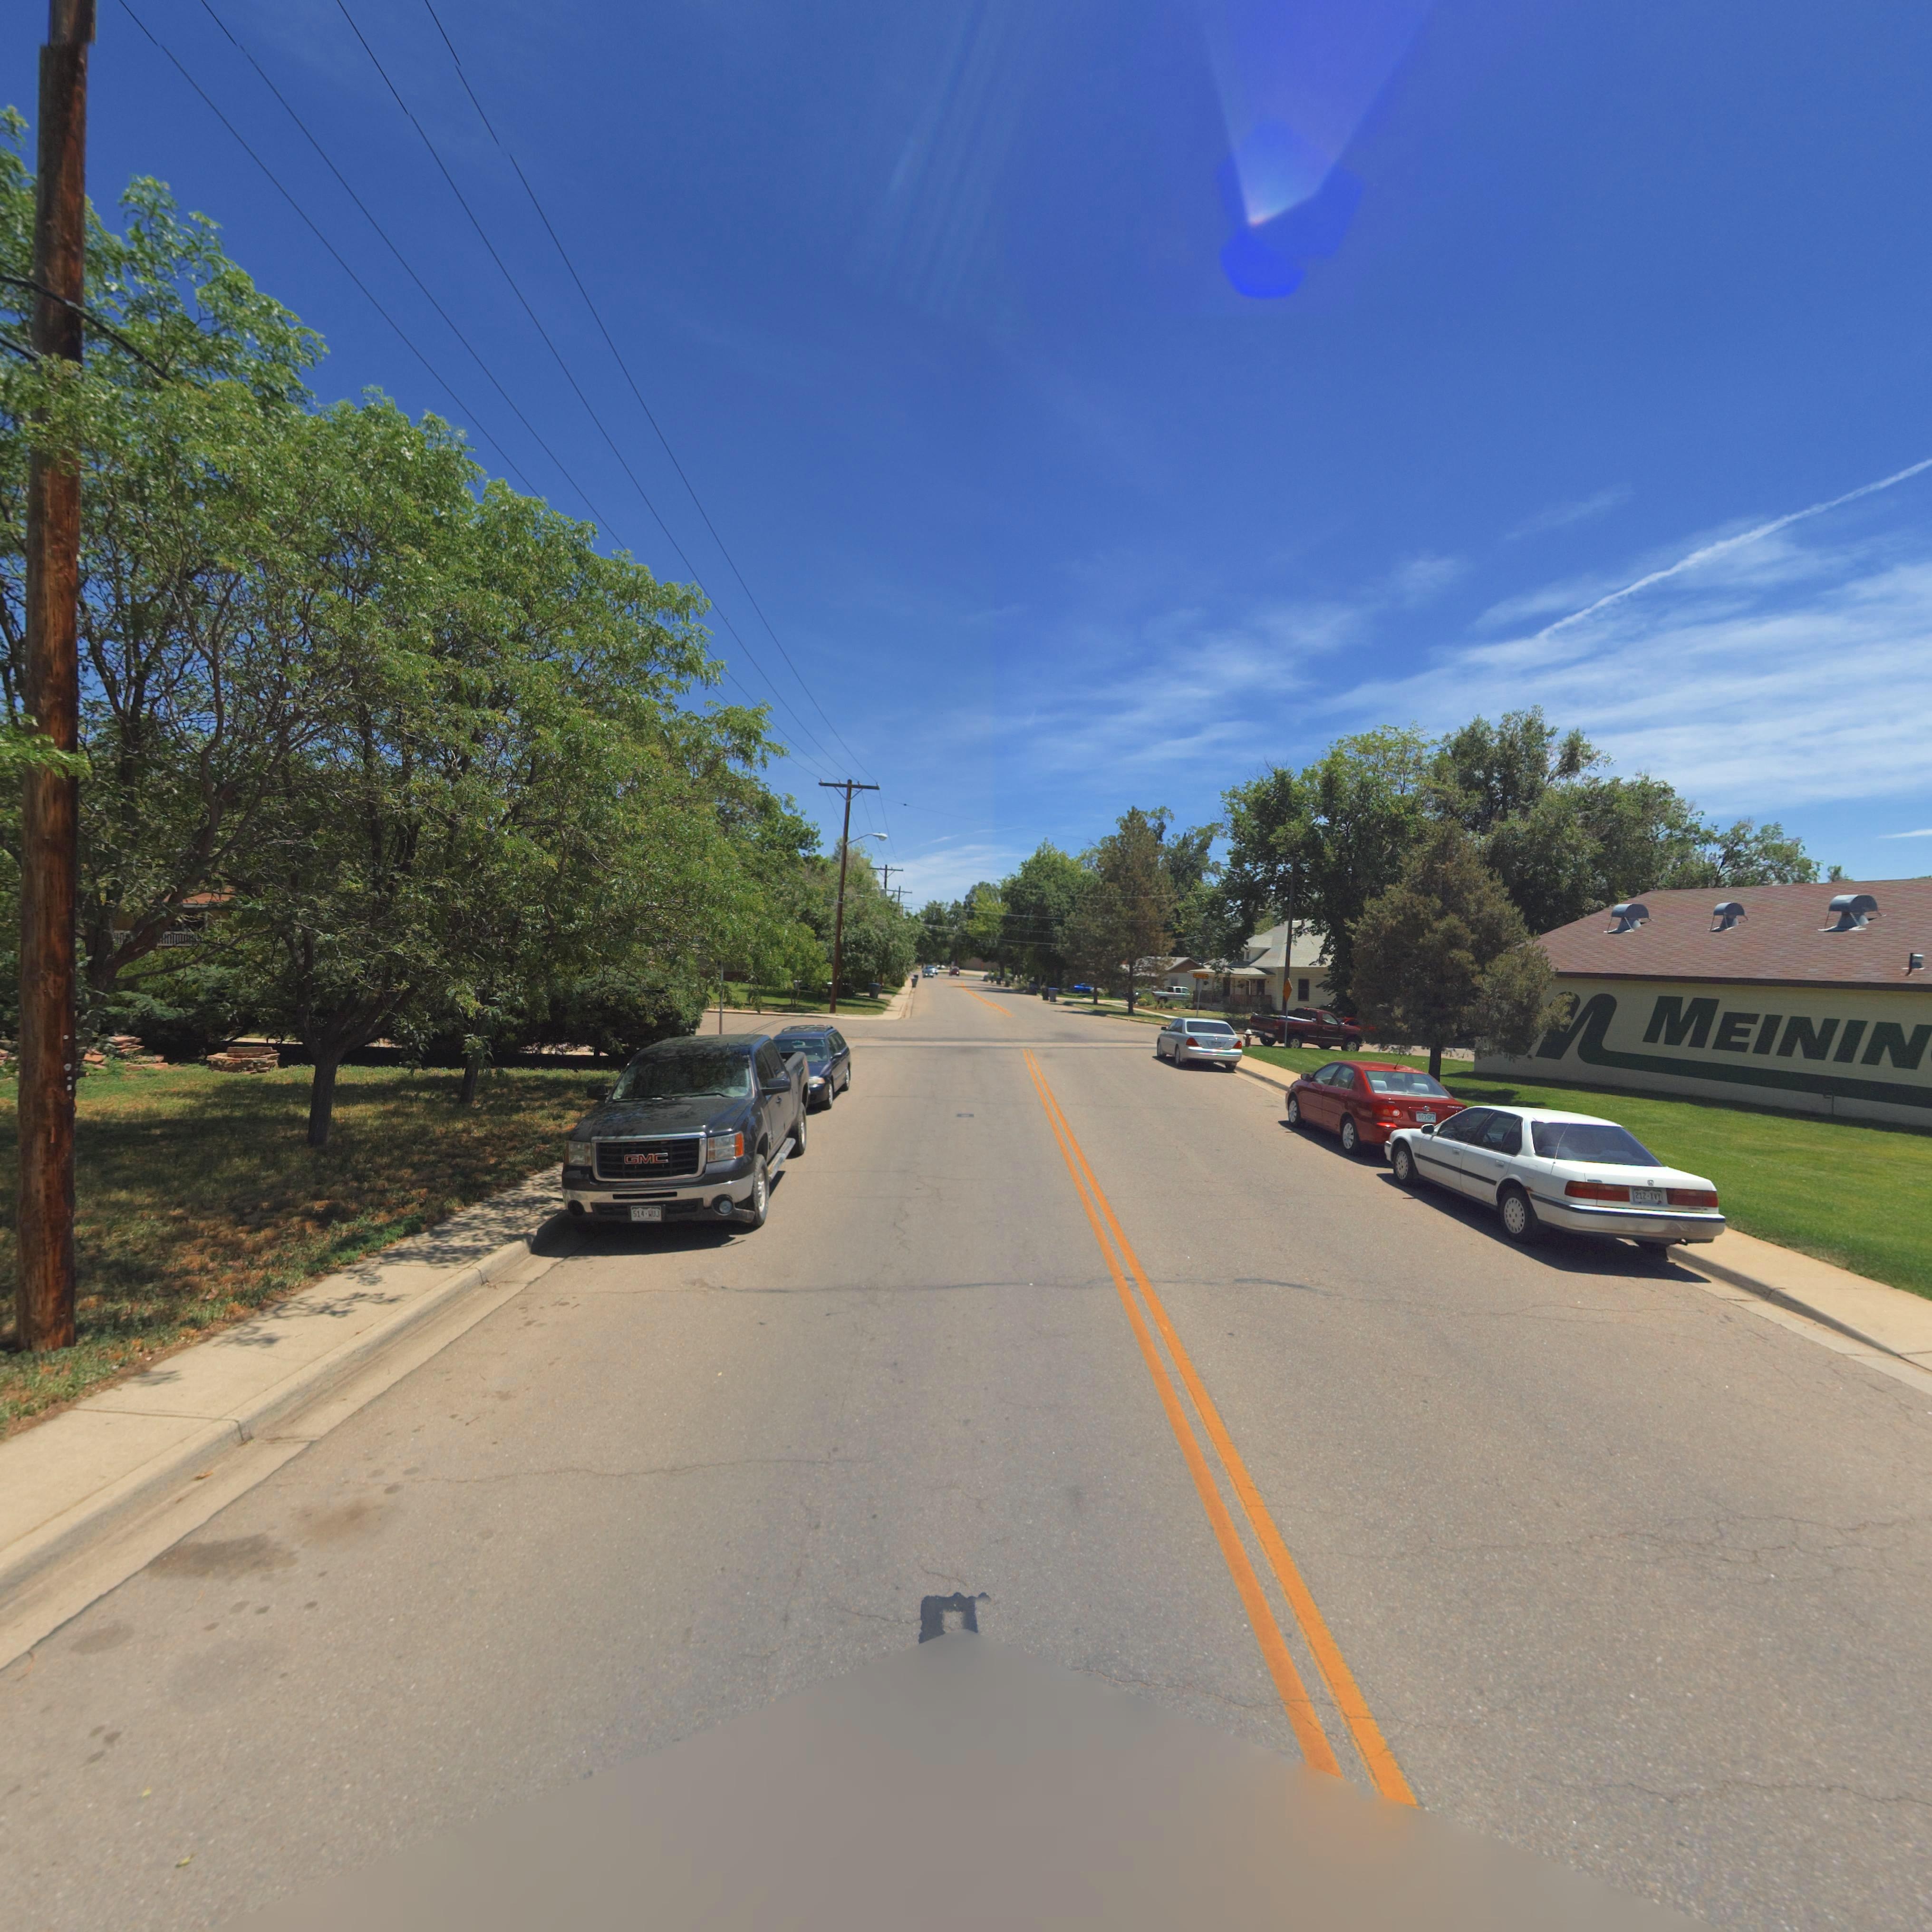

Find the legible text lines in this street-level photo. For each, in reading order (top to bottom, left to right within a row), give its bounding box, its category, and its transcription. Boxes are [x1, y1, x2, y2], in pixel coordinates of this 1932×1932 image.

[1640, 995, 1932, 1071] BusinessName: MEININ